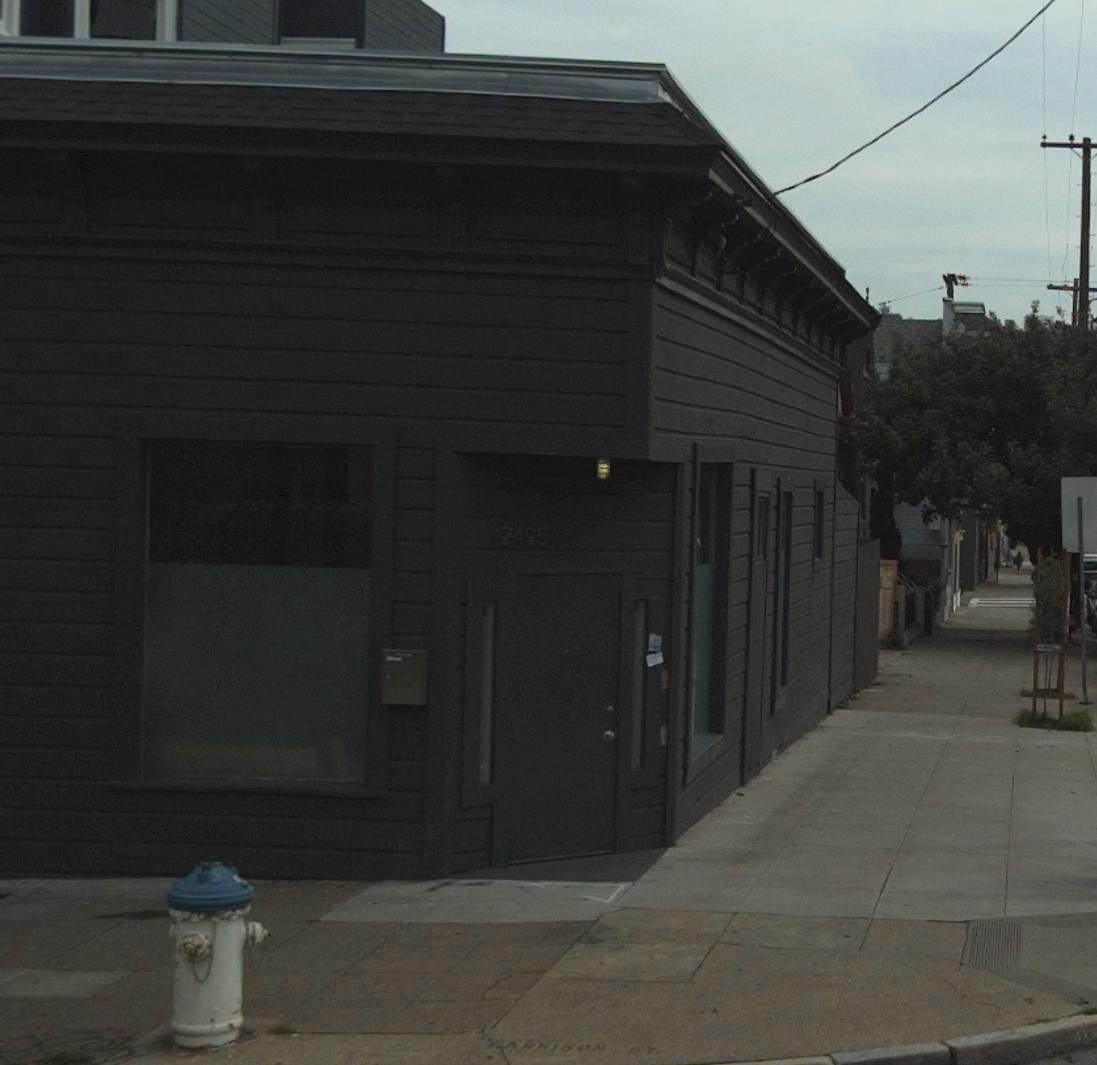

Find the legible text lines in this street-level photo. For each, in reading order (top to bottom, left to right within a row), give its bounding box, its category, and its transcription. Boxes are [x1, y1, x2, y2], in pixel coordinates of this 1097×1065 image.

[498, 524, 549, 547] StreetNumber: 2495